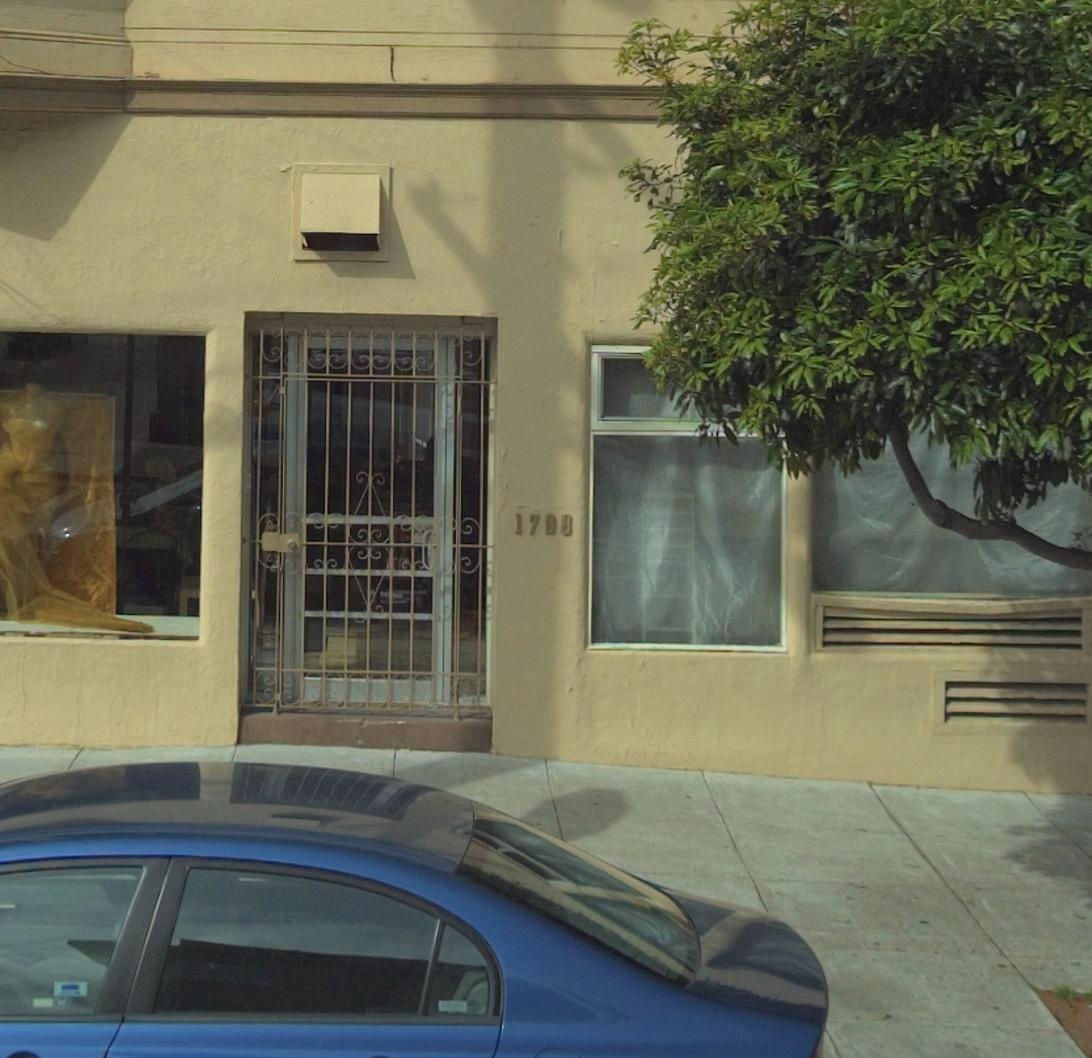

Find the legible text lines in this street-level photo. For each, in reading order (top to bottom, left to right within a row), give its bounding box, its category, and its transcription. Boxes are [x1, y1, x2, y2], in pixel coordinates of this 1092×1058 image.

[513, 512, 573, 538] StreetNumber: 1798